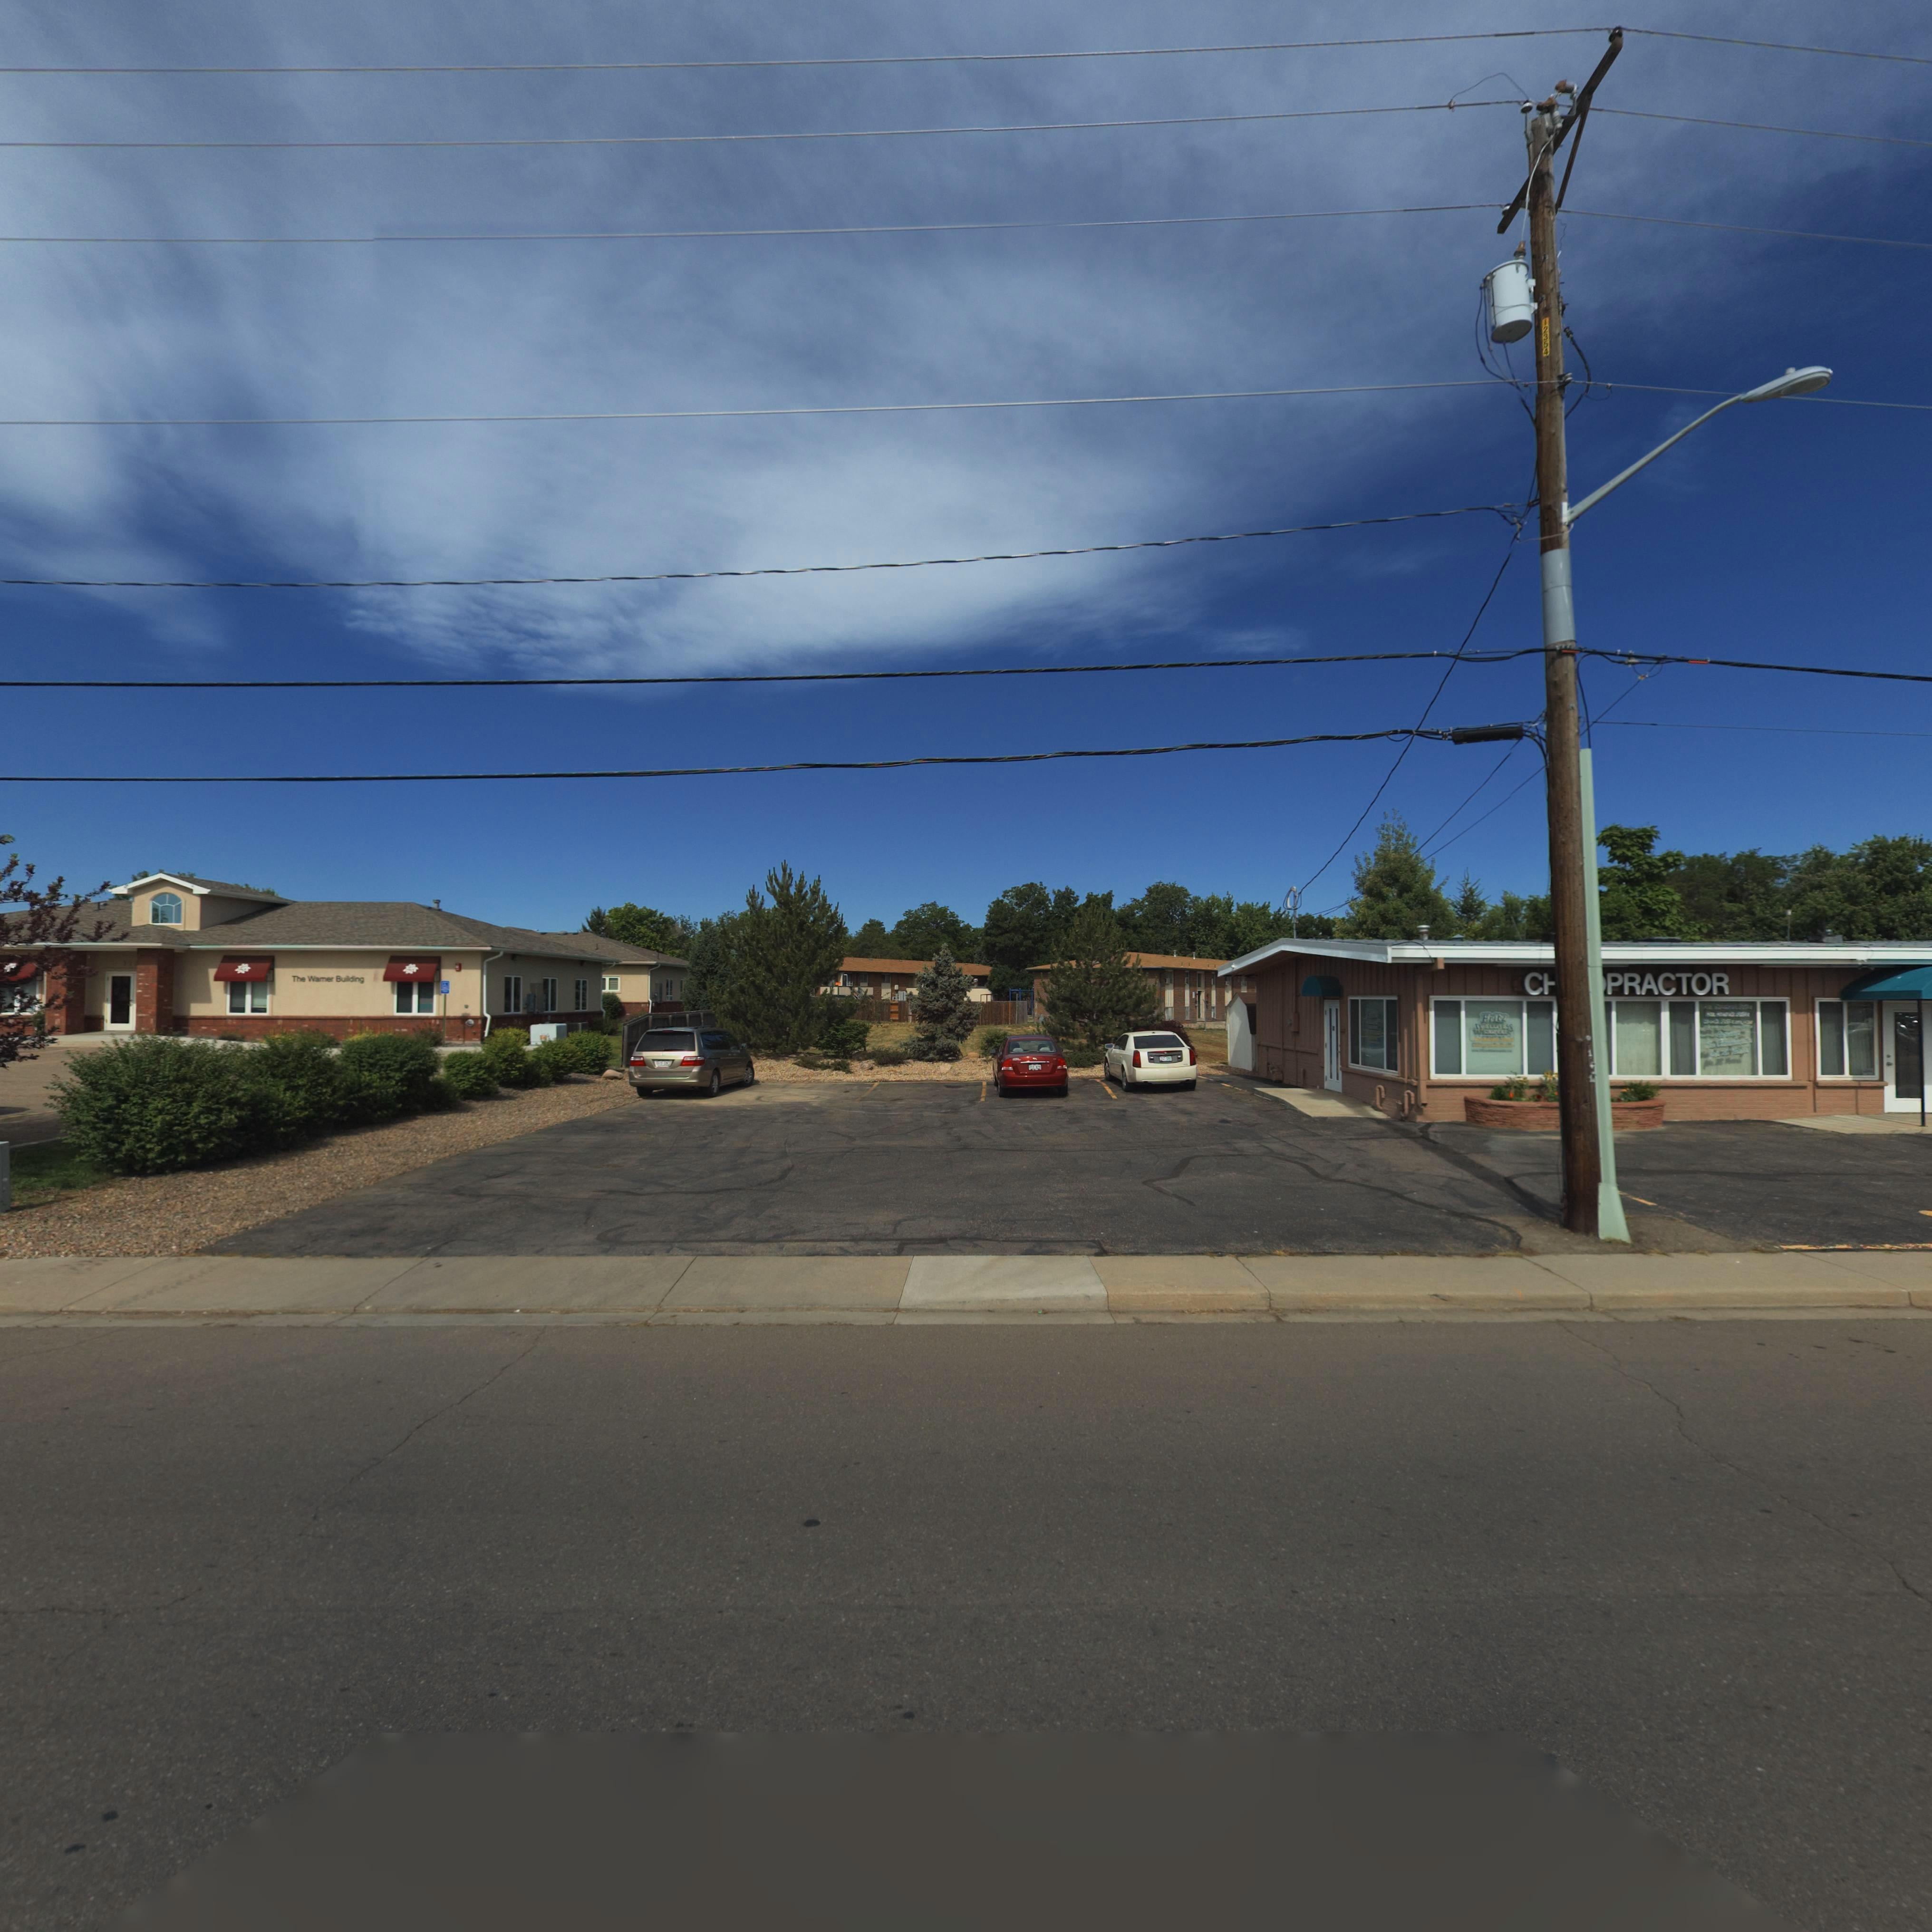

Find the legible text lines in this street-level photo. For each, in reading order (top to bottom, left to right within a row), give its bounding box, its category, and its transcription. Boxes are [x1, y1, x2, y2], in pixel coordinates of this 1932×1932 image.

[122, 959, 138, 966] StreetNumber: 17*
[1481, 1012, 1507, 1022] BusinessName: Fritz
[1474, 1022, 1514, 1033] BusinessName: WELL*ESS